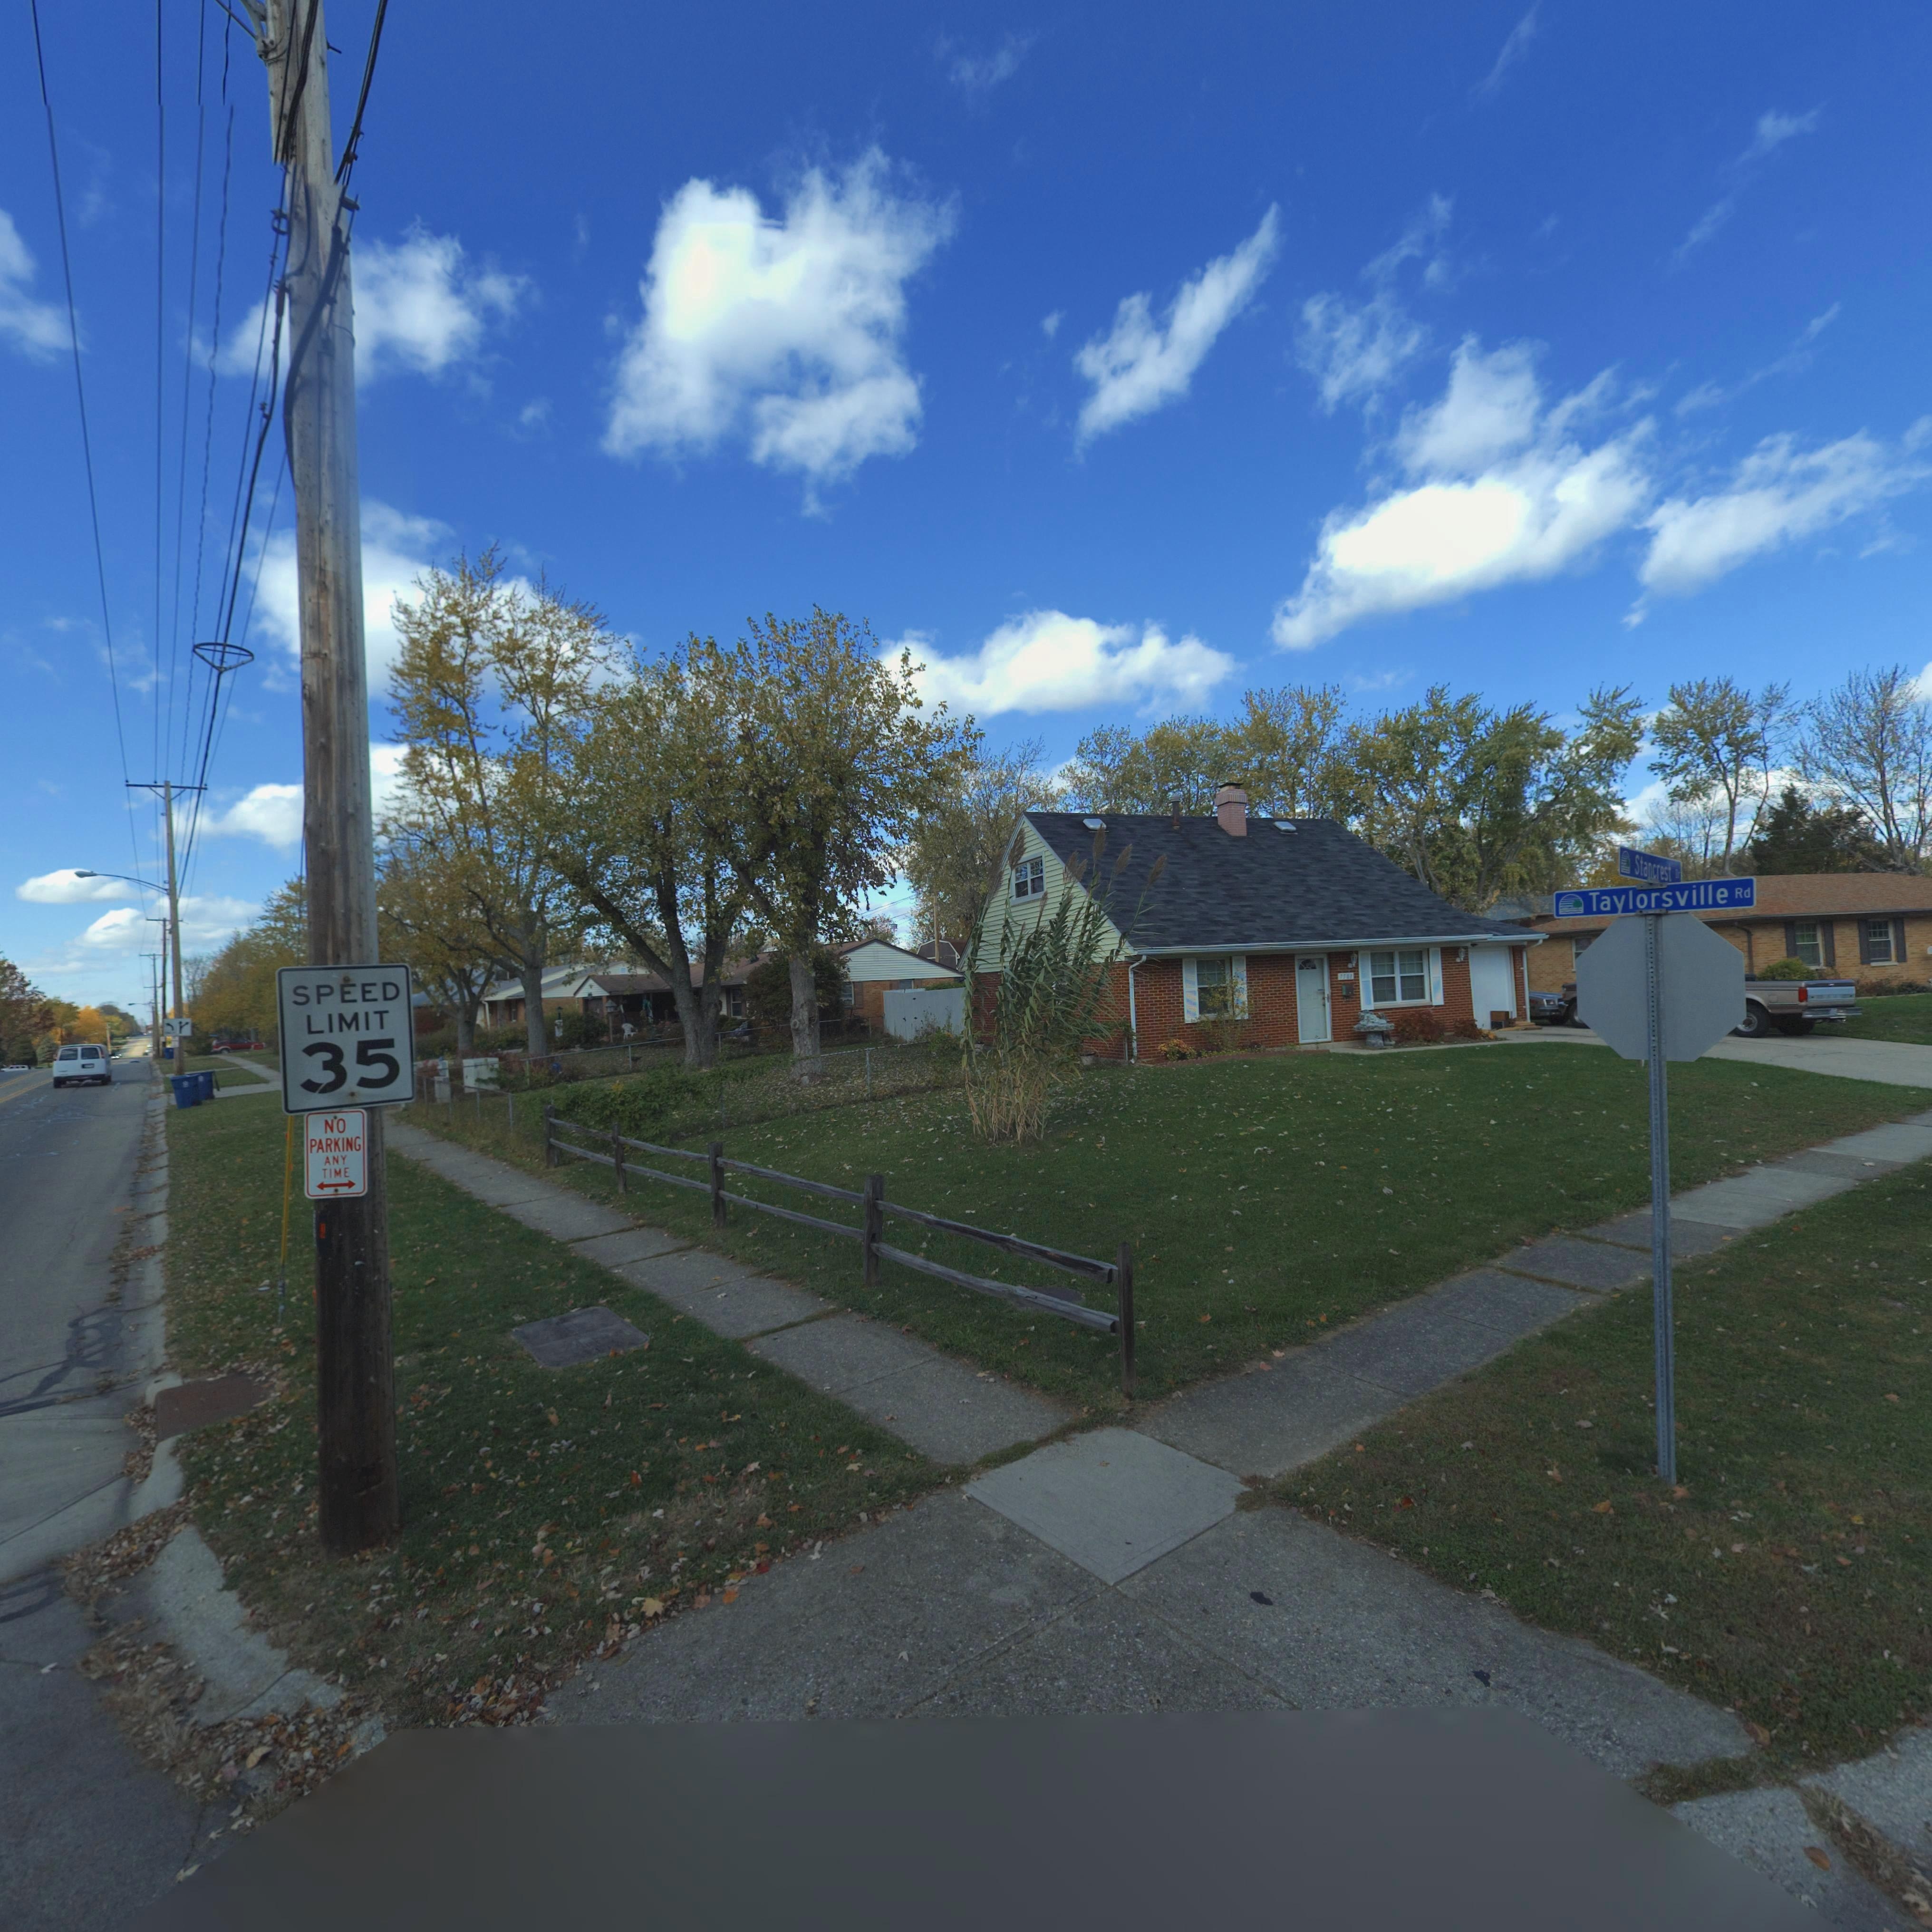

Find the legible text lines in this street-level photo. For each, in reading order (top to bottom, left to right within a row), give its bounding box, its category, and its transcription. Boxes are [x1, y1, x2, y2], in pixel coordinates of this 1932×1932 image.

[1633, 853, 1673, 884] StreetName: Stancrest
[1340, 973, 1353, 979] StreetNumber: 7501